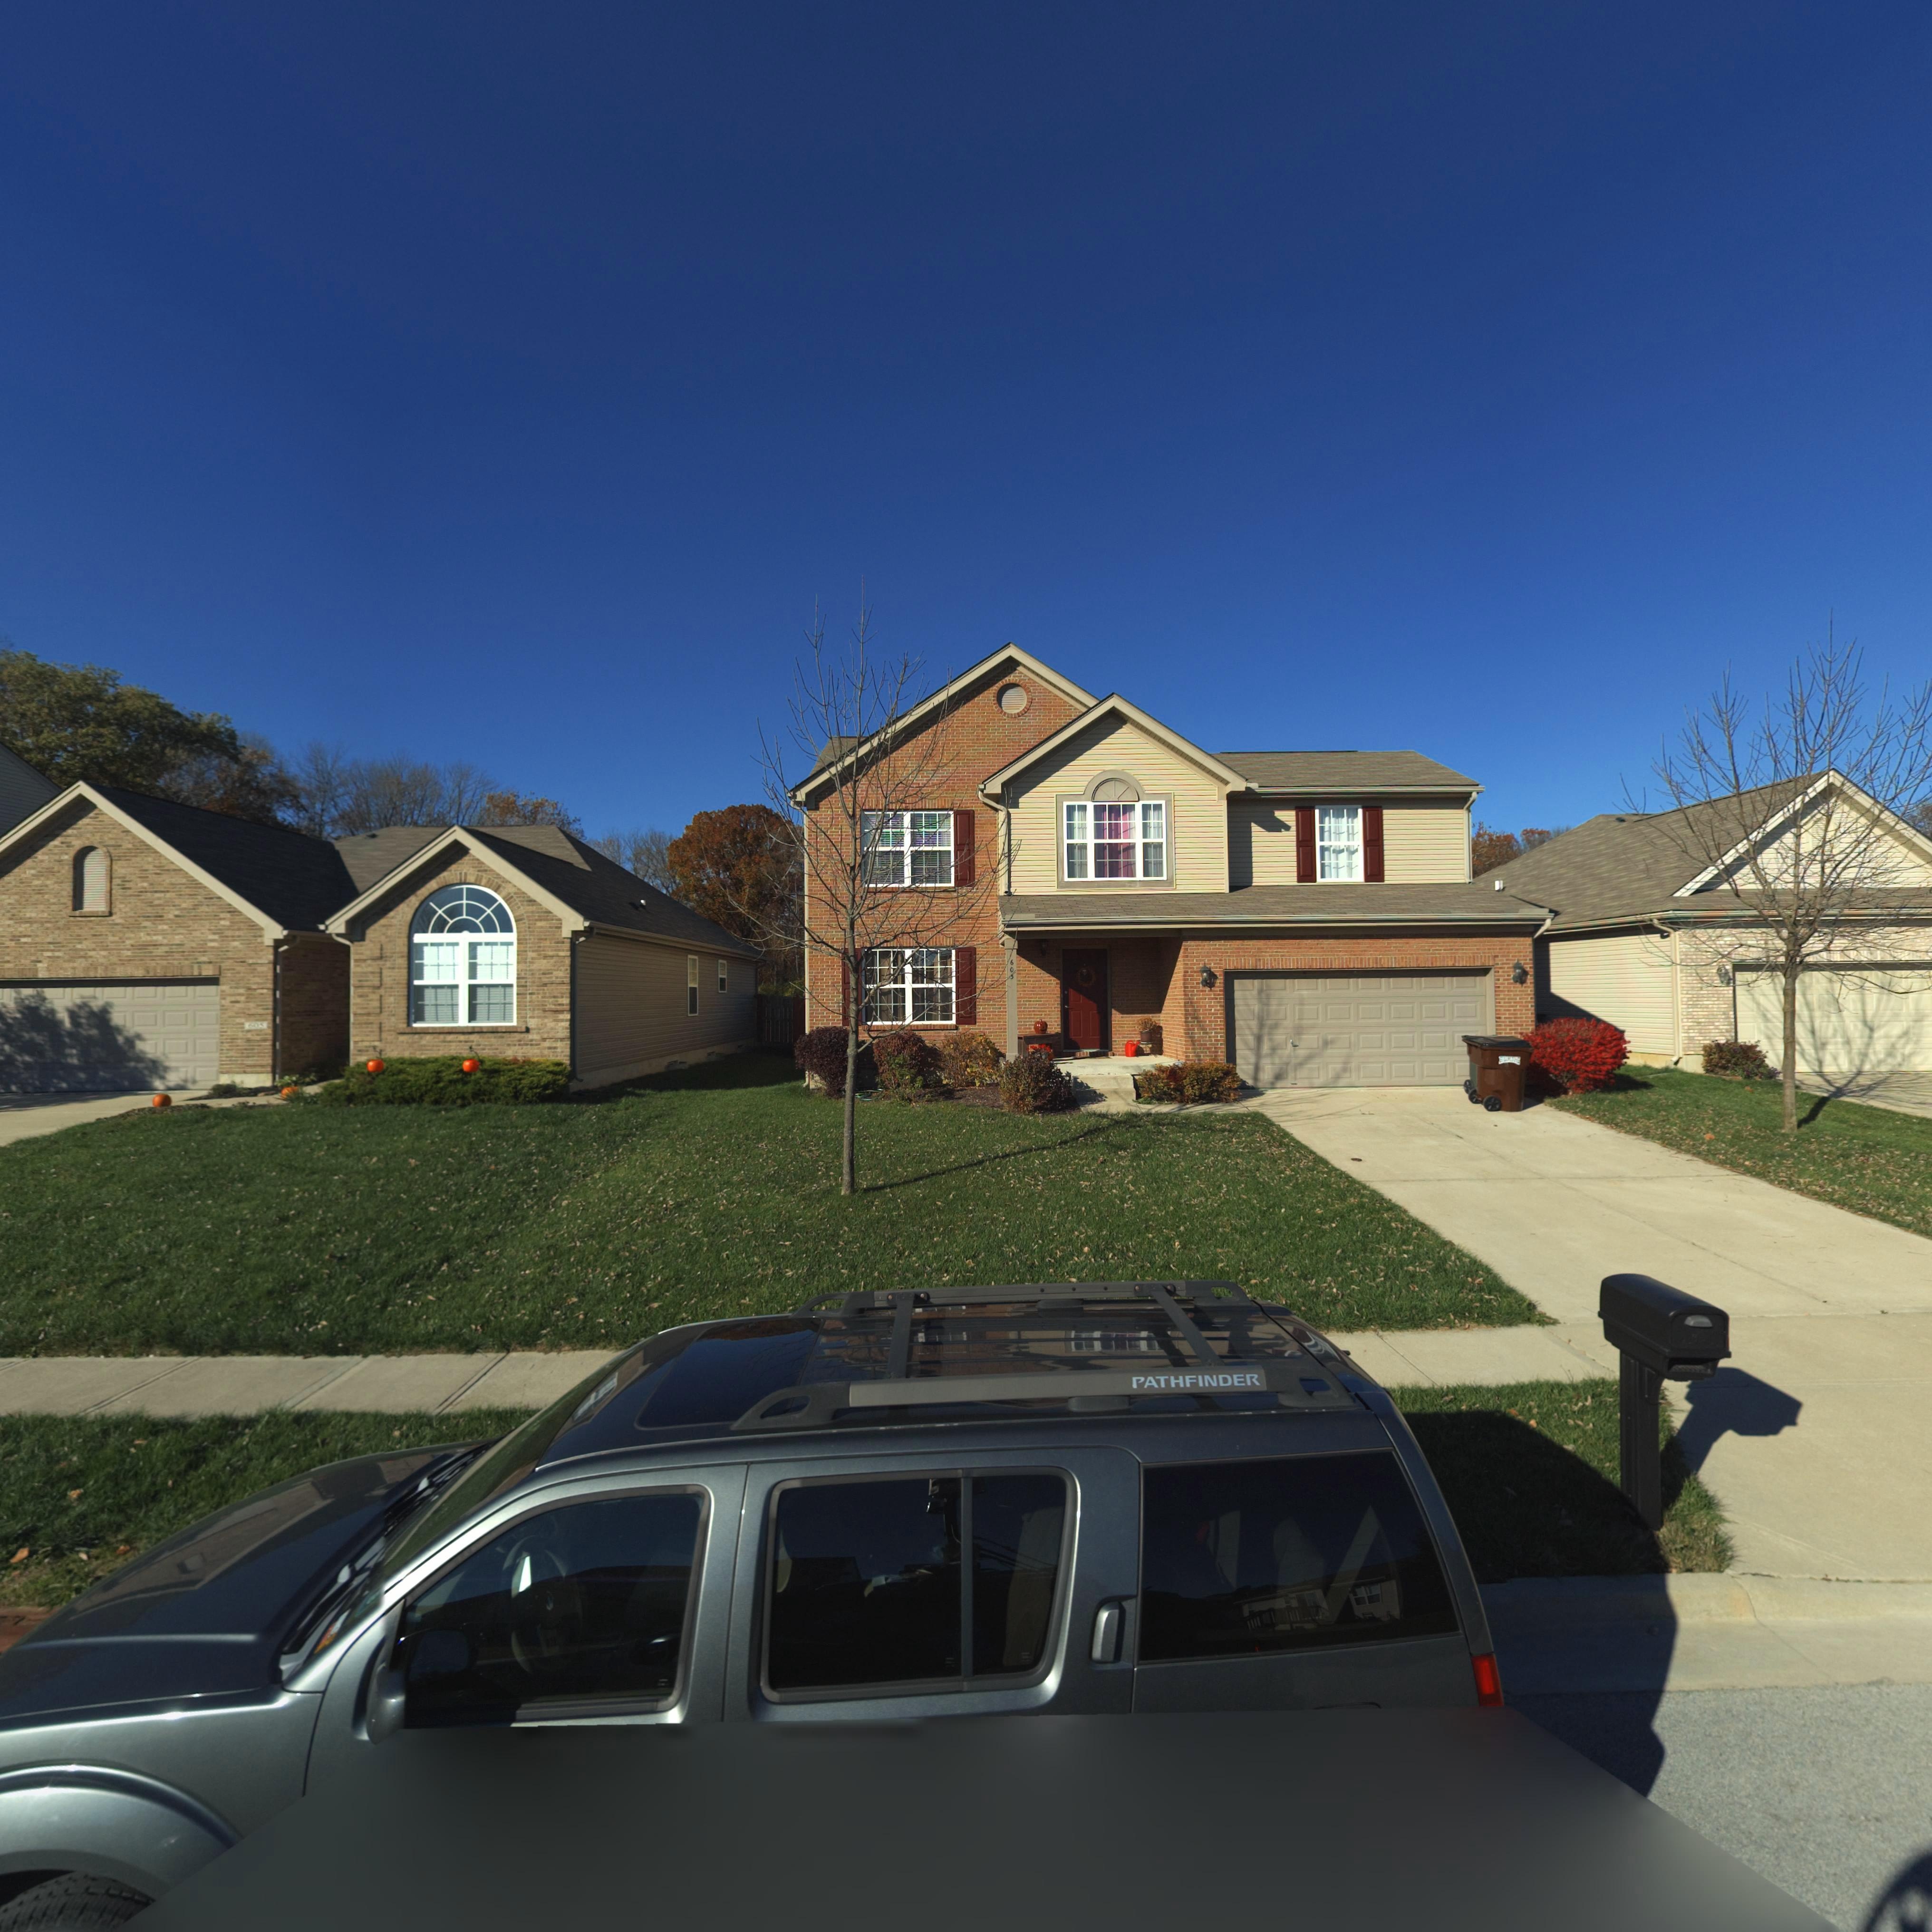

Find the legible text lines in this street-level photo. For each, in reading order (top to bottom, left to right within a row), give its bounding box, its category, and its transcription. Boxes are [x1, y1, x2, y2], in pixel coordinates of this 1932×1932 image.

[1009, 959, 1014, 980] StreetNumber: 603
[247, 1021, 264, 1029] StreetNumber: 605